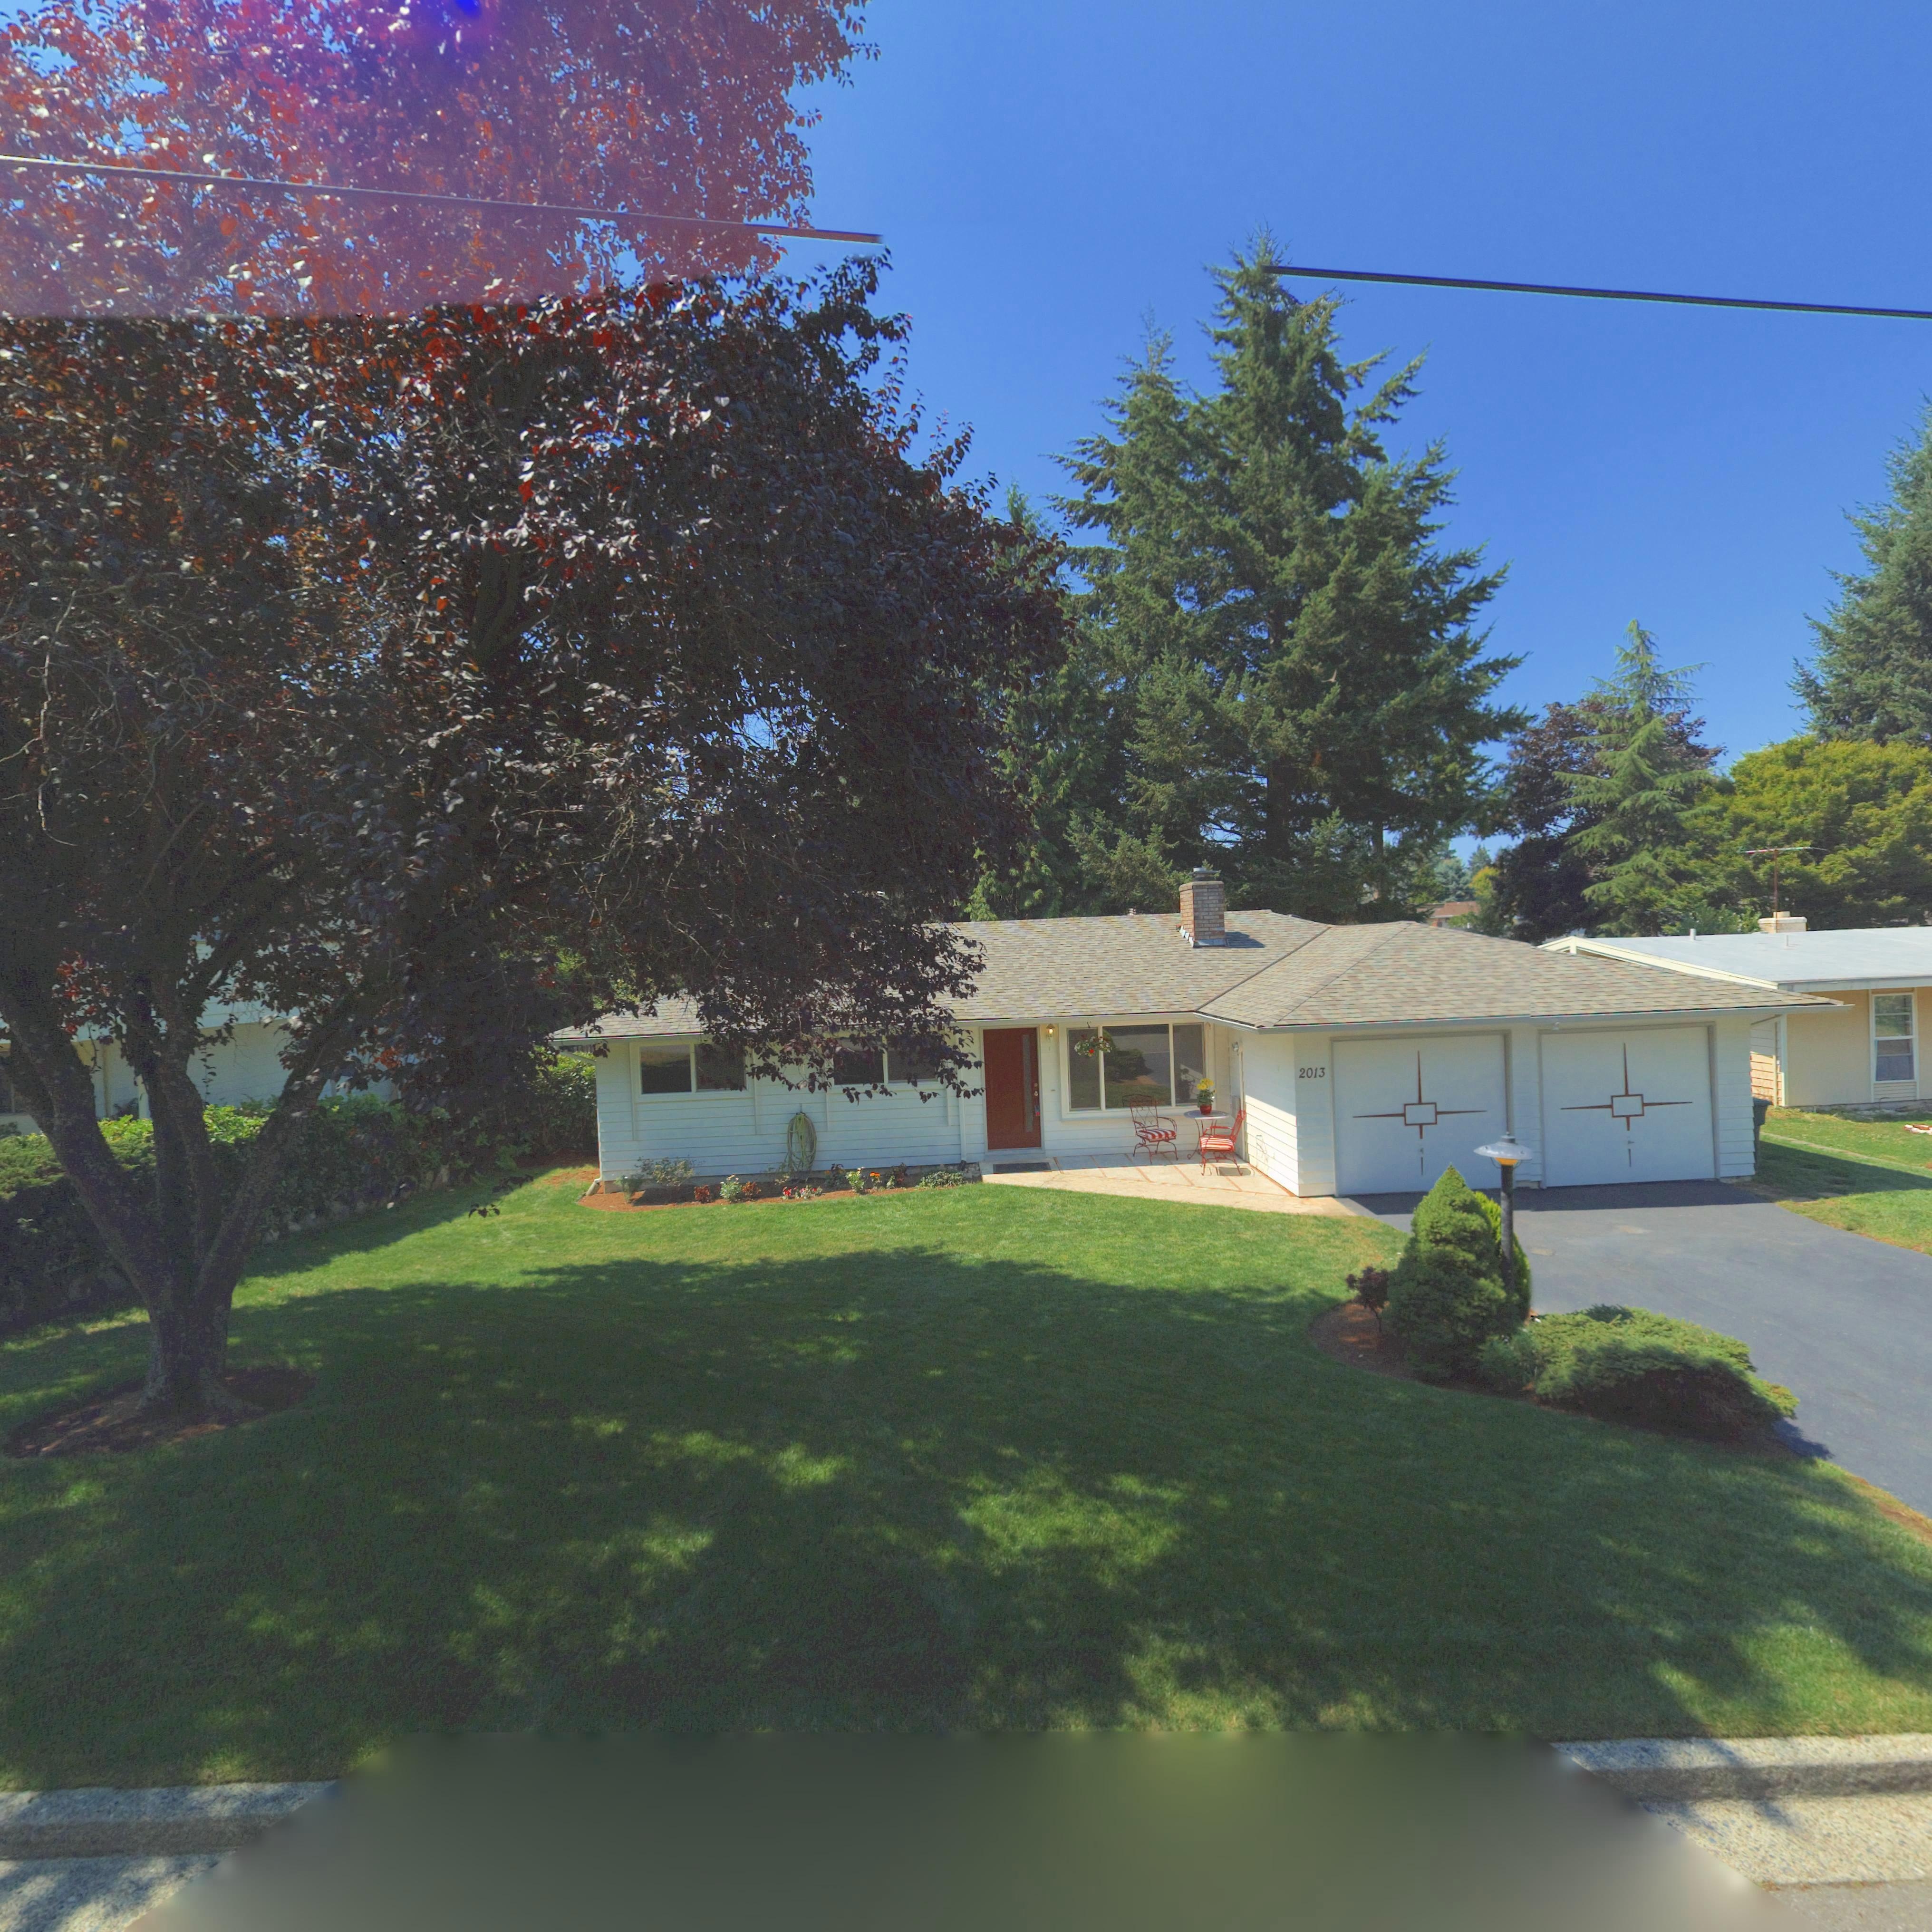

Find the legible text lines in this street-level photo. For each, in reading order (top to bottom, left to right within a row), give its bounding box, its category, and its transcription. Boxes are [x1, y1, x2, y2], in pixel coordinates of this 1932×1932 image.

[1298, 1066, 1326, 1078] StreetNumber: 2013